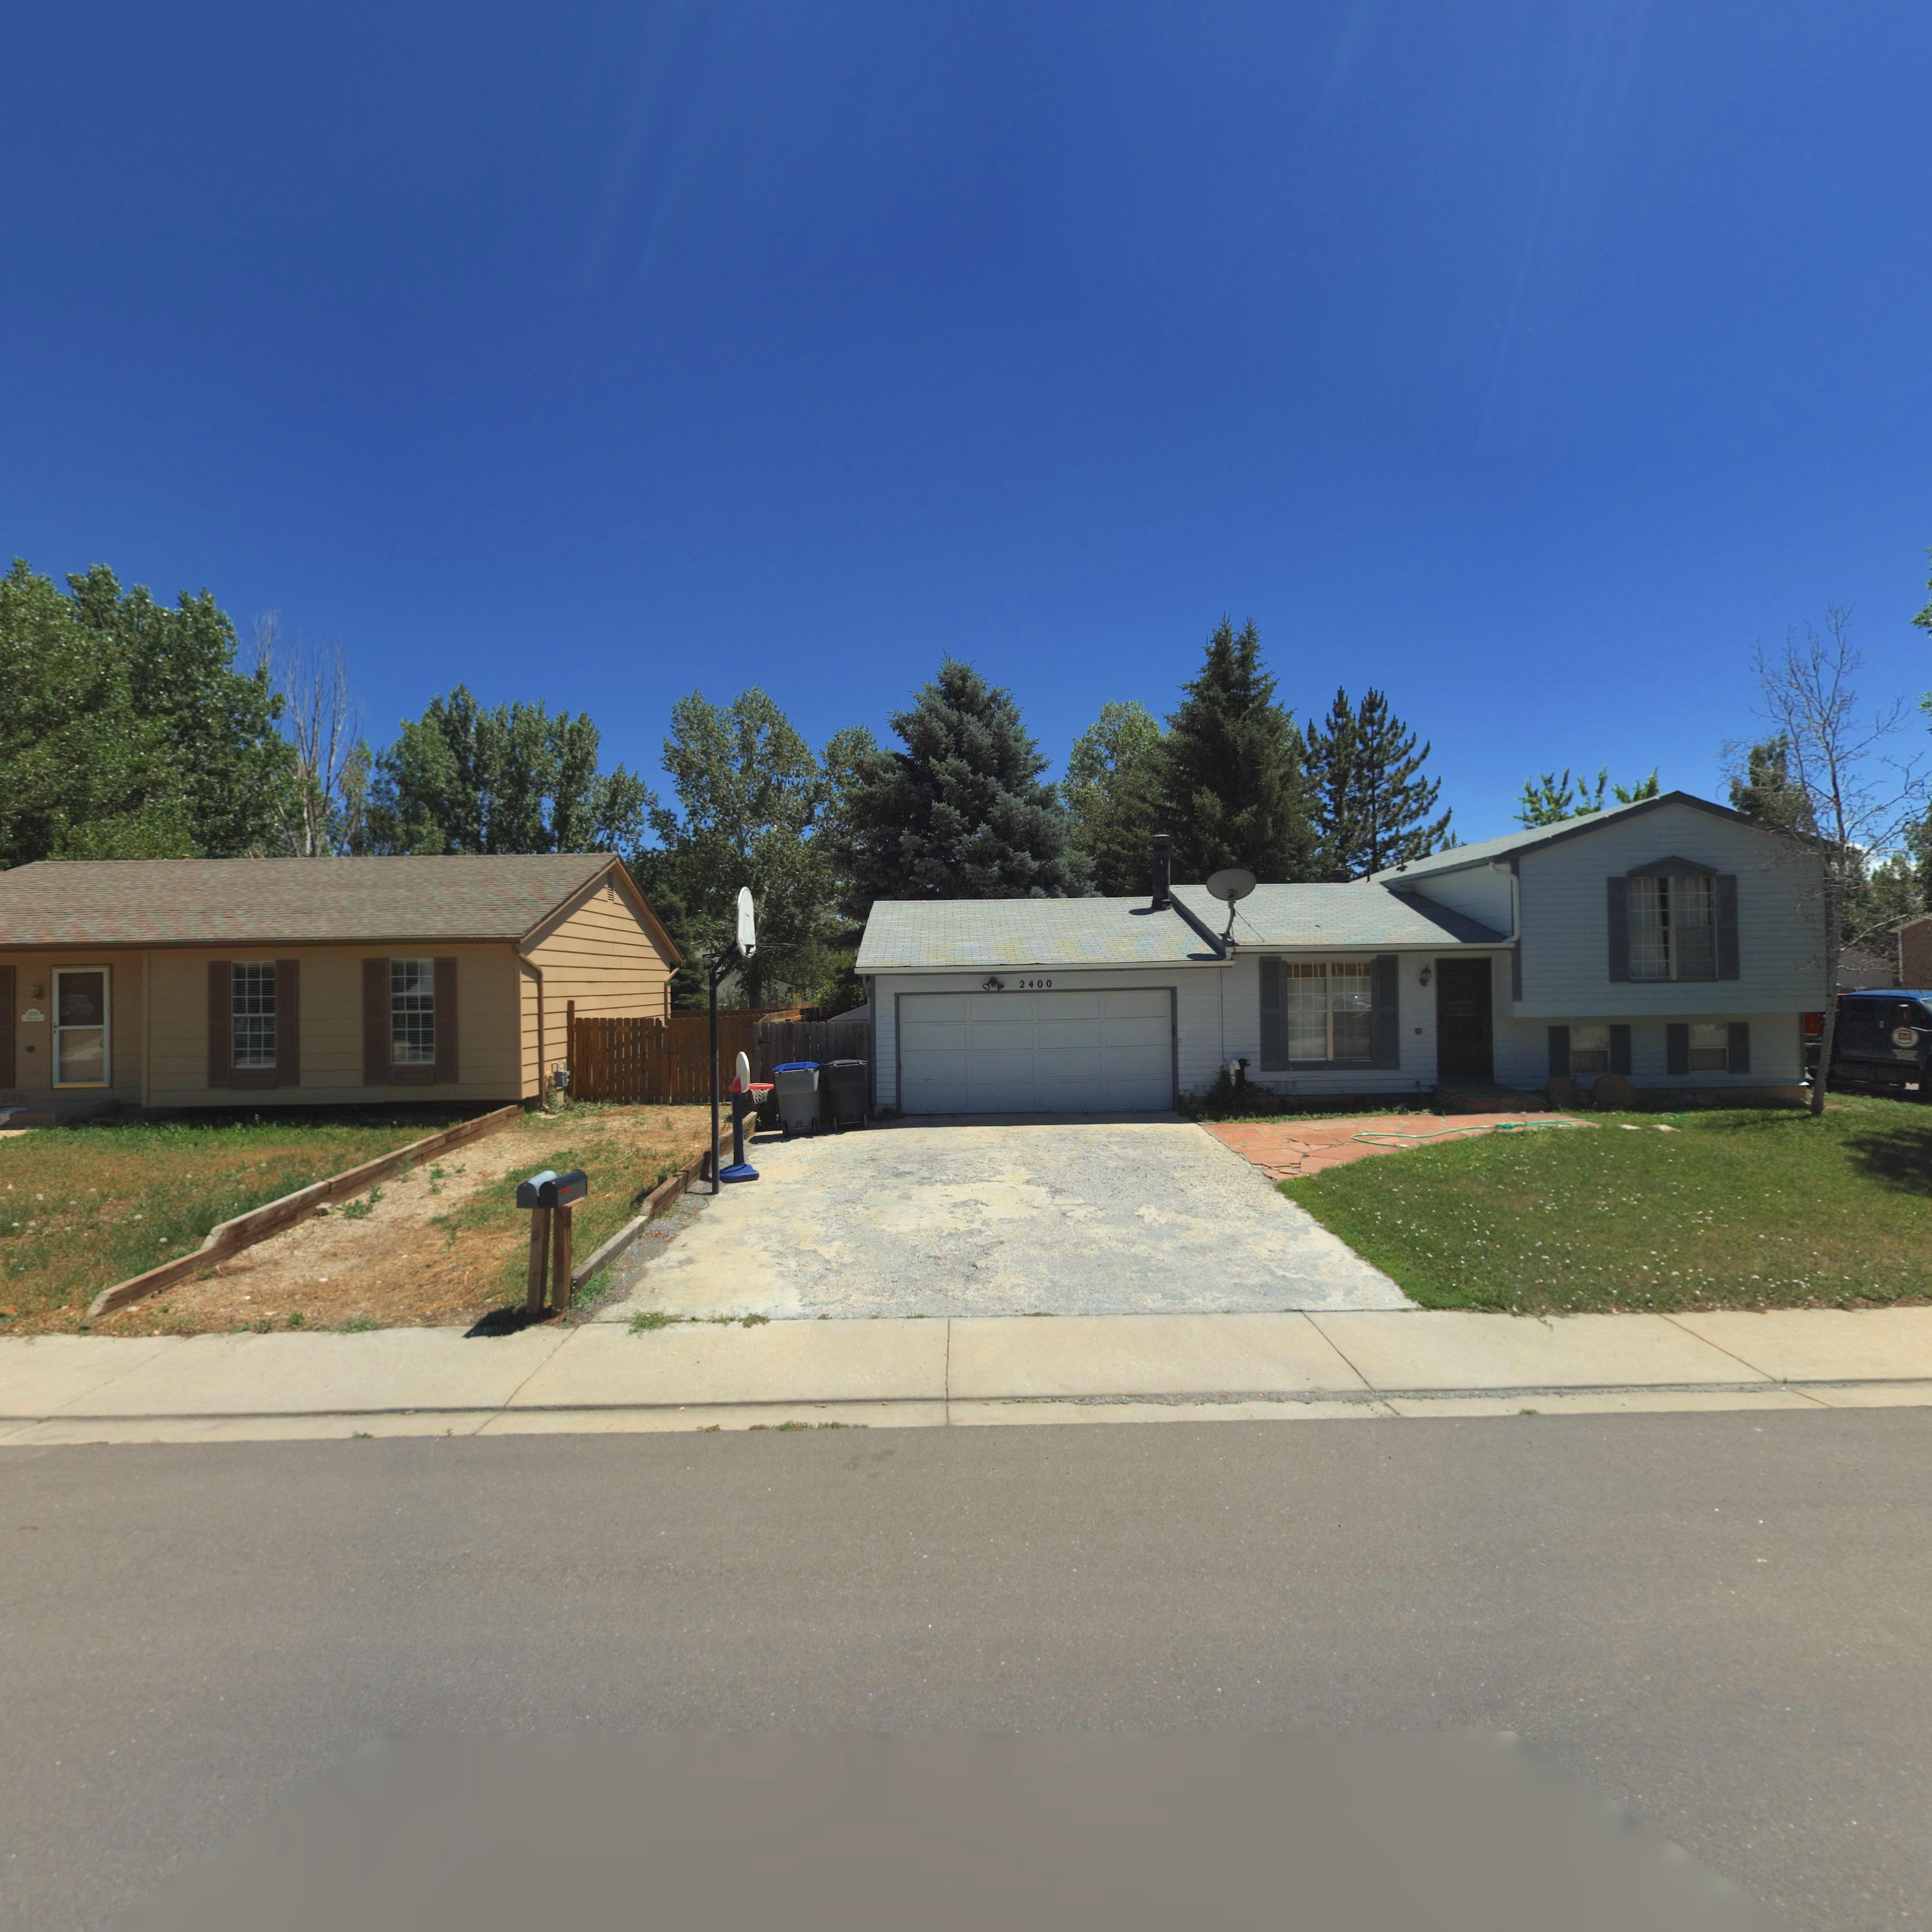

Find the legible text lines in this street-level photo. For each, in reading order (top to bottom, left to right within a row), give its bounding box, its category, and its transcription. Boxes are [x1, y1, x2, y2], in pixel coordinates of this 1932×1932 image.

[1018, 979, 1052, 988] StreetNumber: 2400